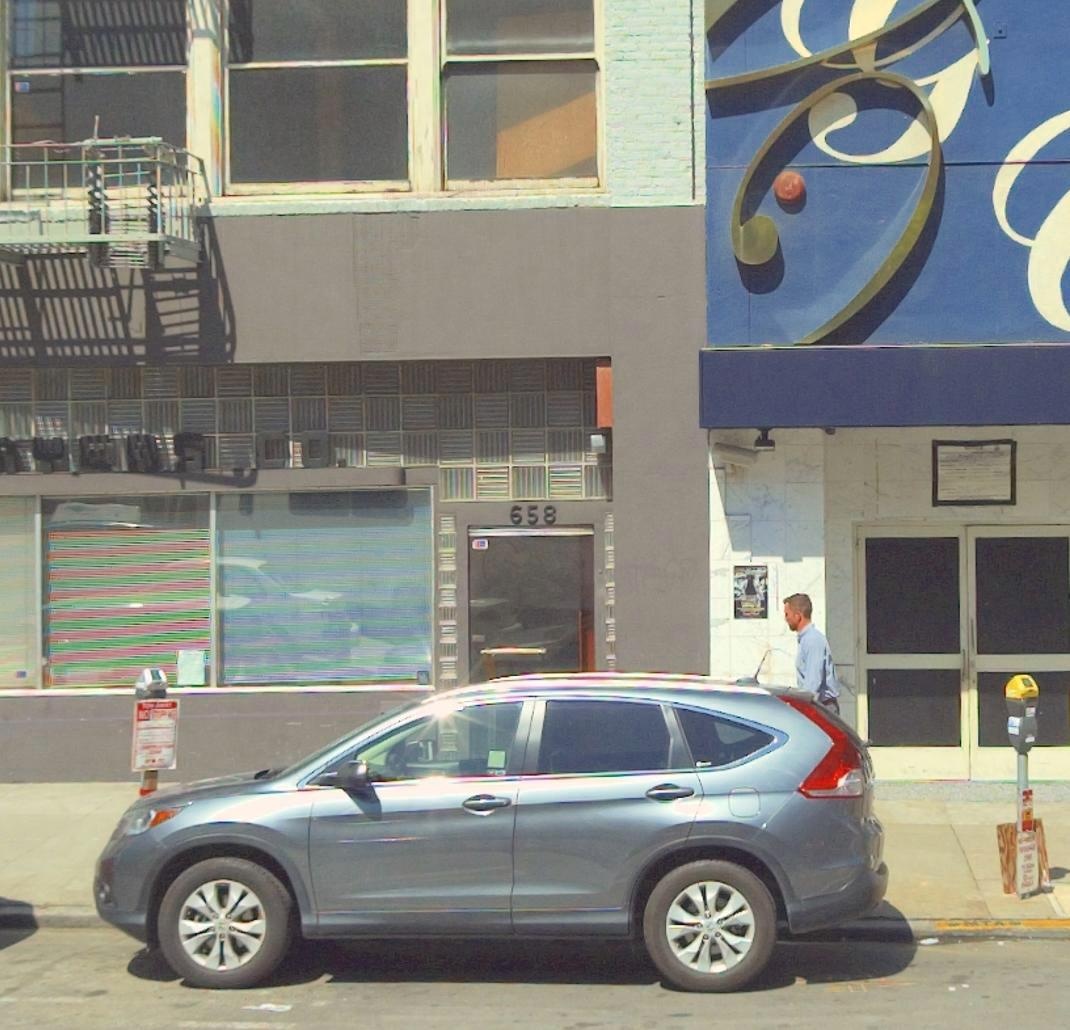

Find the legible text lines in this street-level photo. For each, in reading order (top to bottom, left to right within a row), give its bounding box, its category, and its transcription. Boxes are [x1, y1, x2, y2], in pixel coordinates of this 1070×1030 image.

[29, 430, 349, 476] None: YERS CO.
[509, 505, 557, 525] StreetNumber: 658